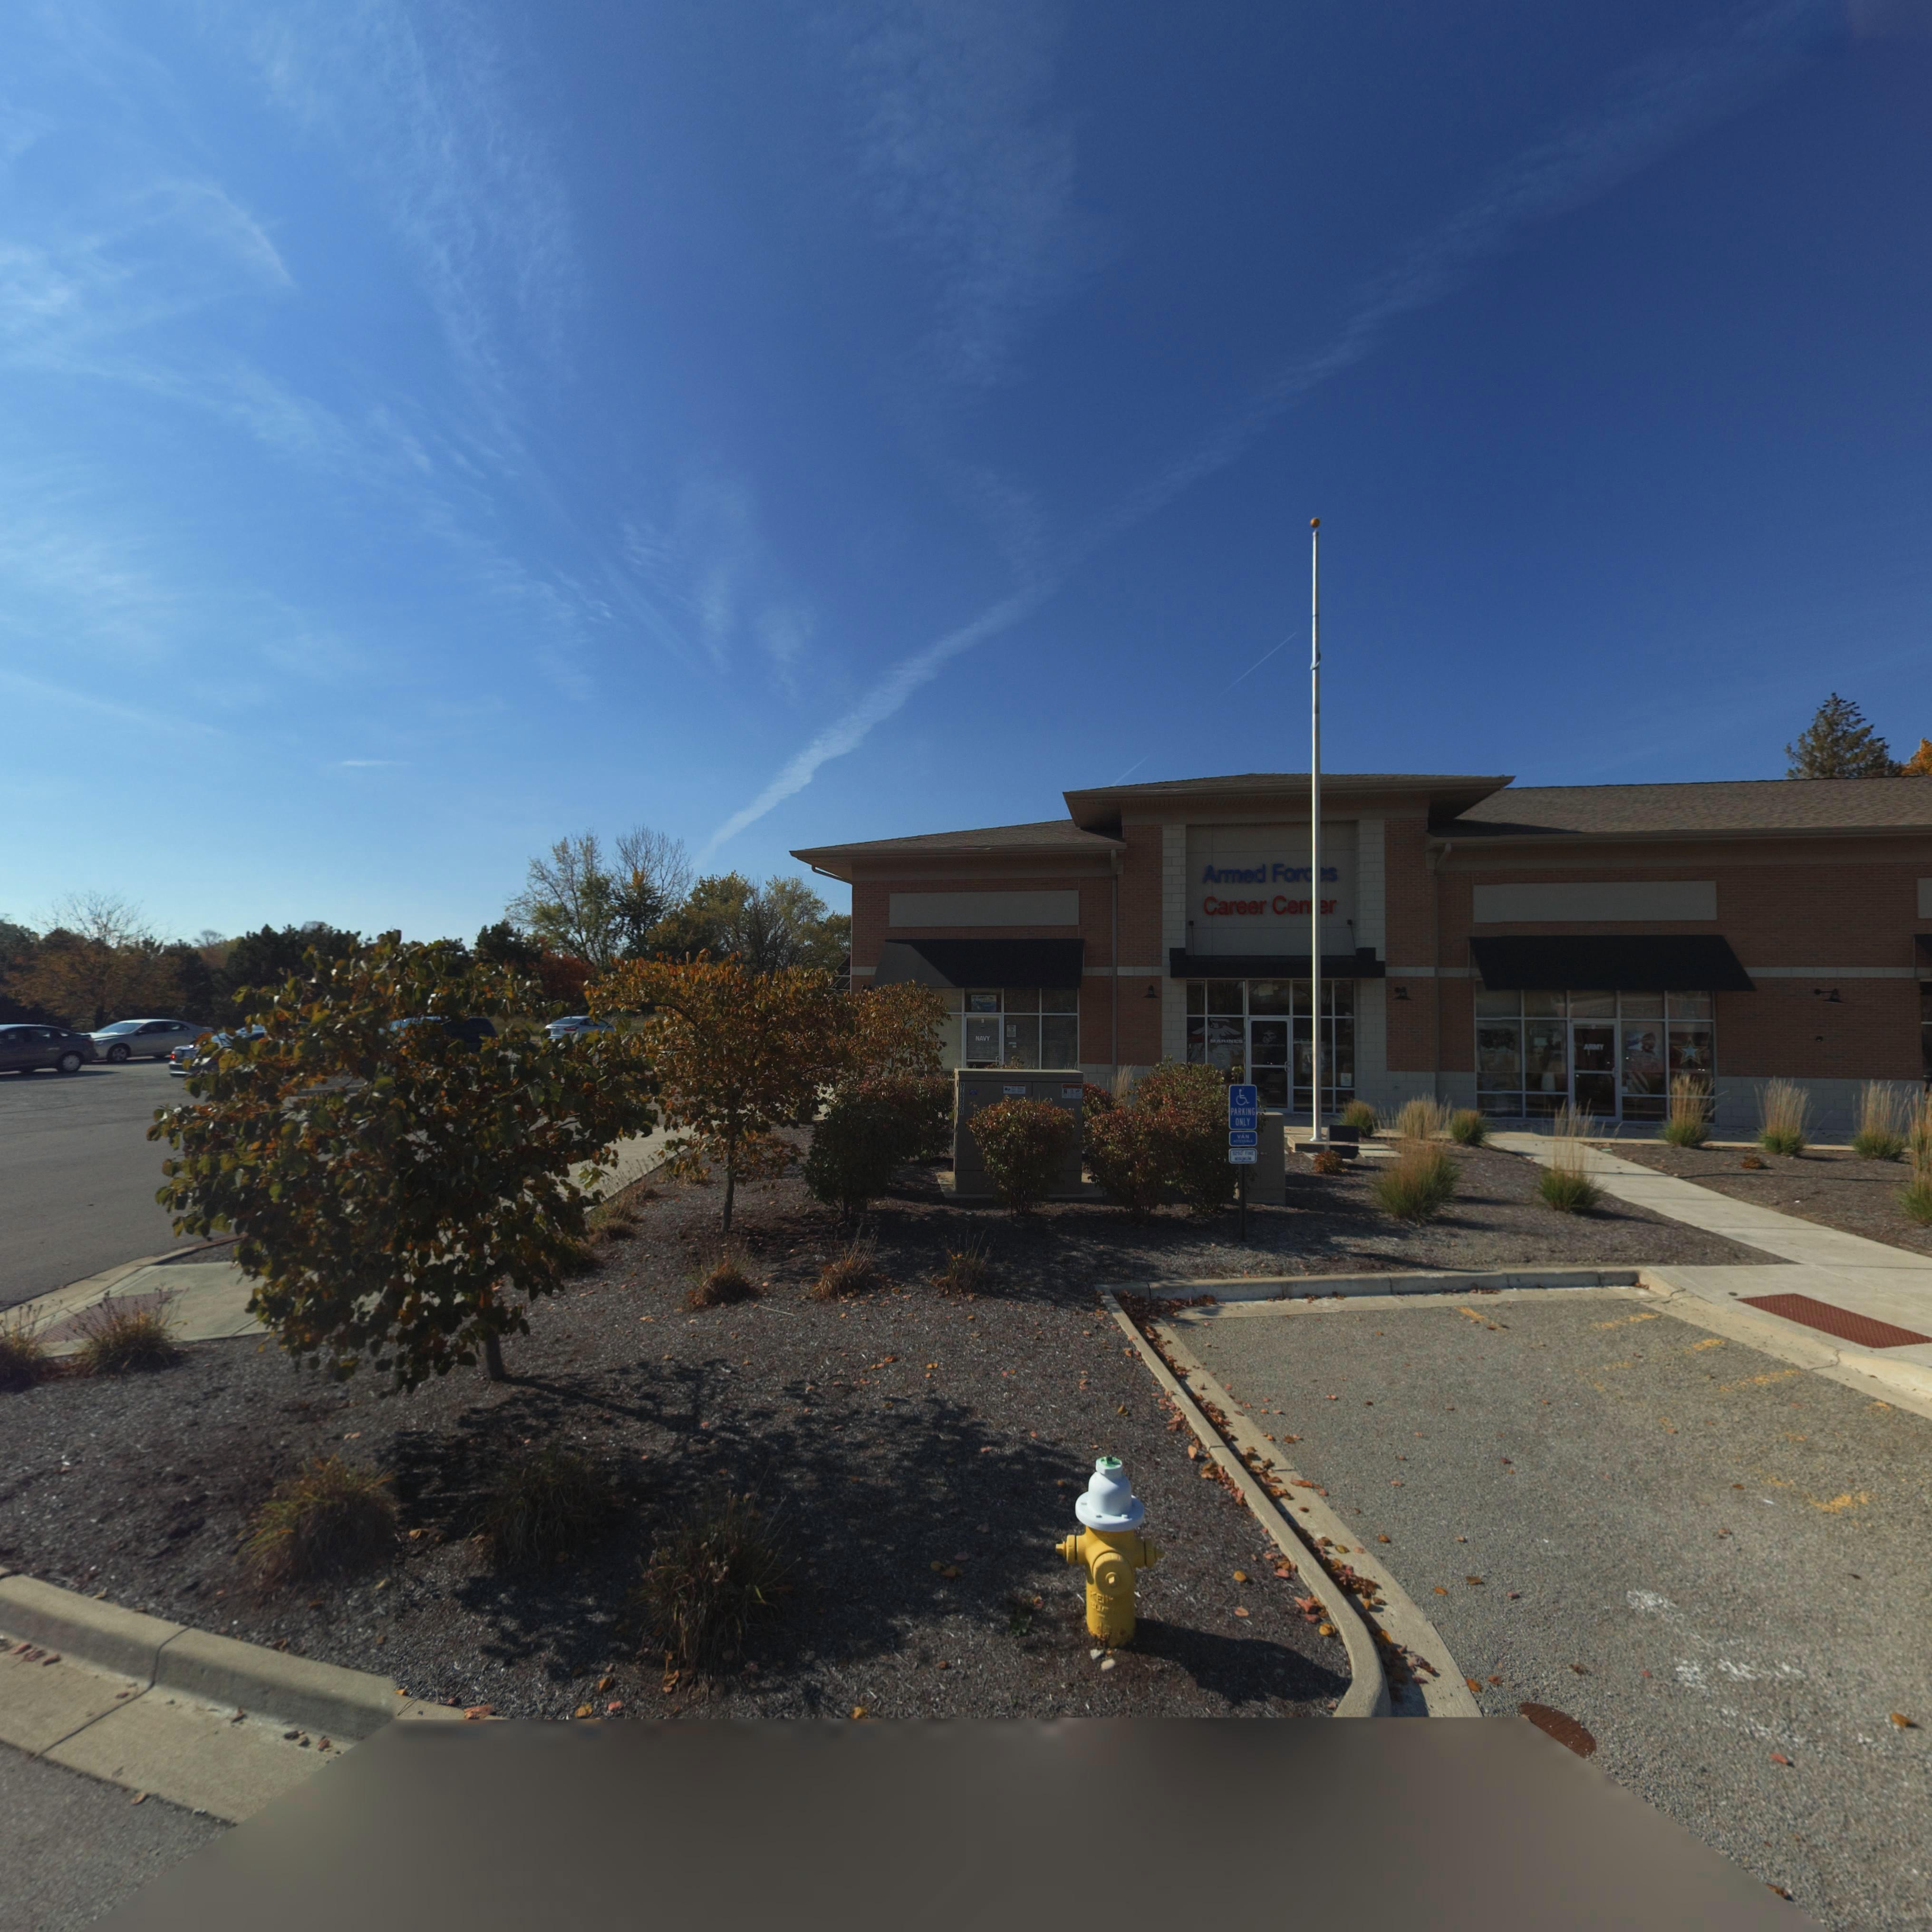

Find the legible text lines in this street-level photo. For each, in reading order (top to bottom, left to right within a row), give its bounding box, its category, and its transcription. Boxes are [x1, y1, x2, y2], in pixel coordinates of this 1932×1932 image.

[1200, 861, 1340, 885] BusinessName: Armed For**s
[1202, 893, 1339, 917] BusinessName: Career Cen**r
[1095, 1592, 1103, 1604] None: E